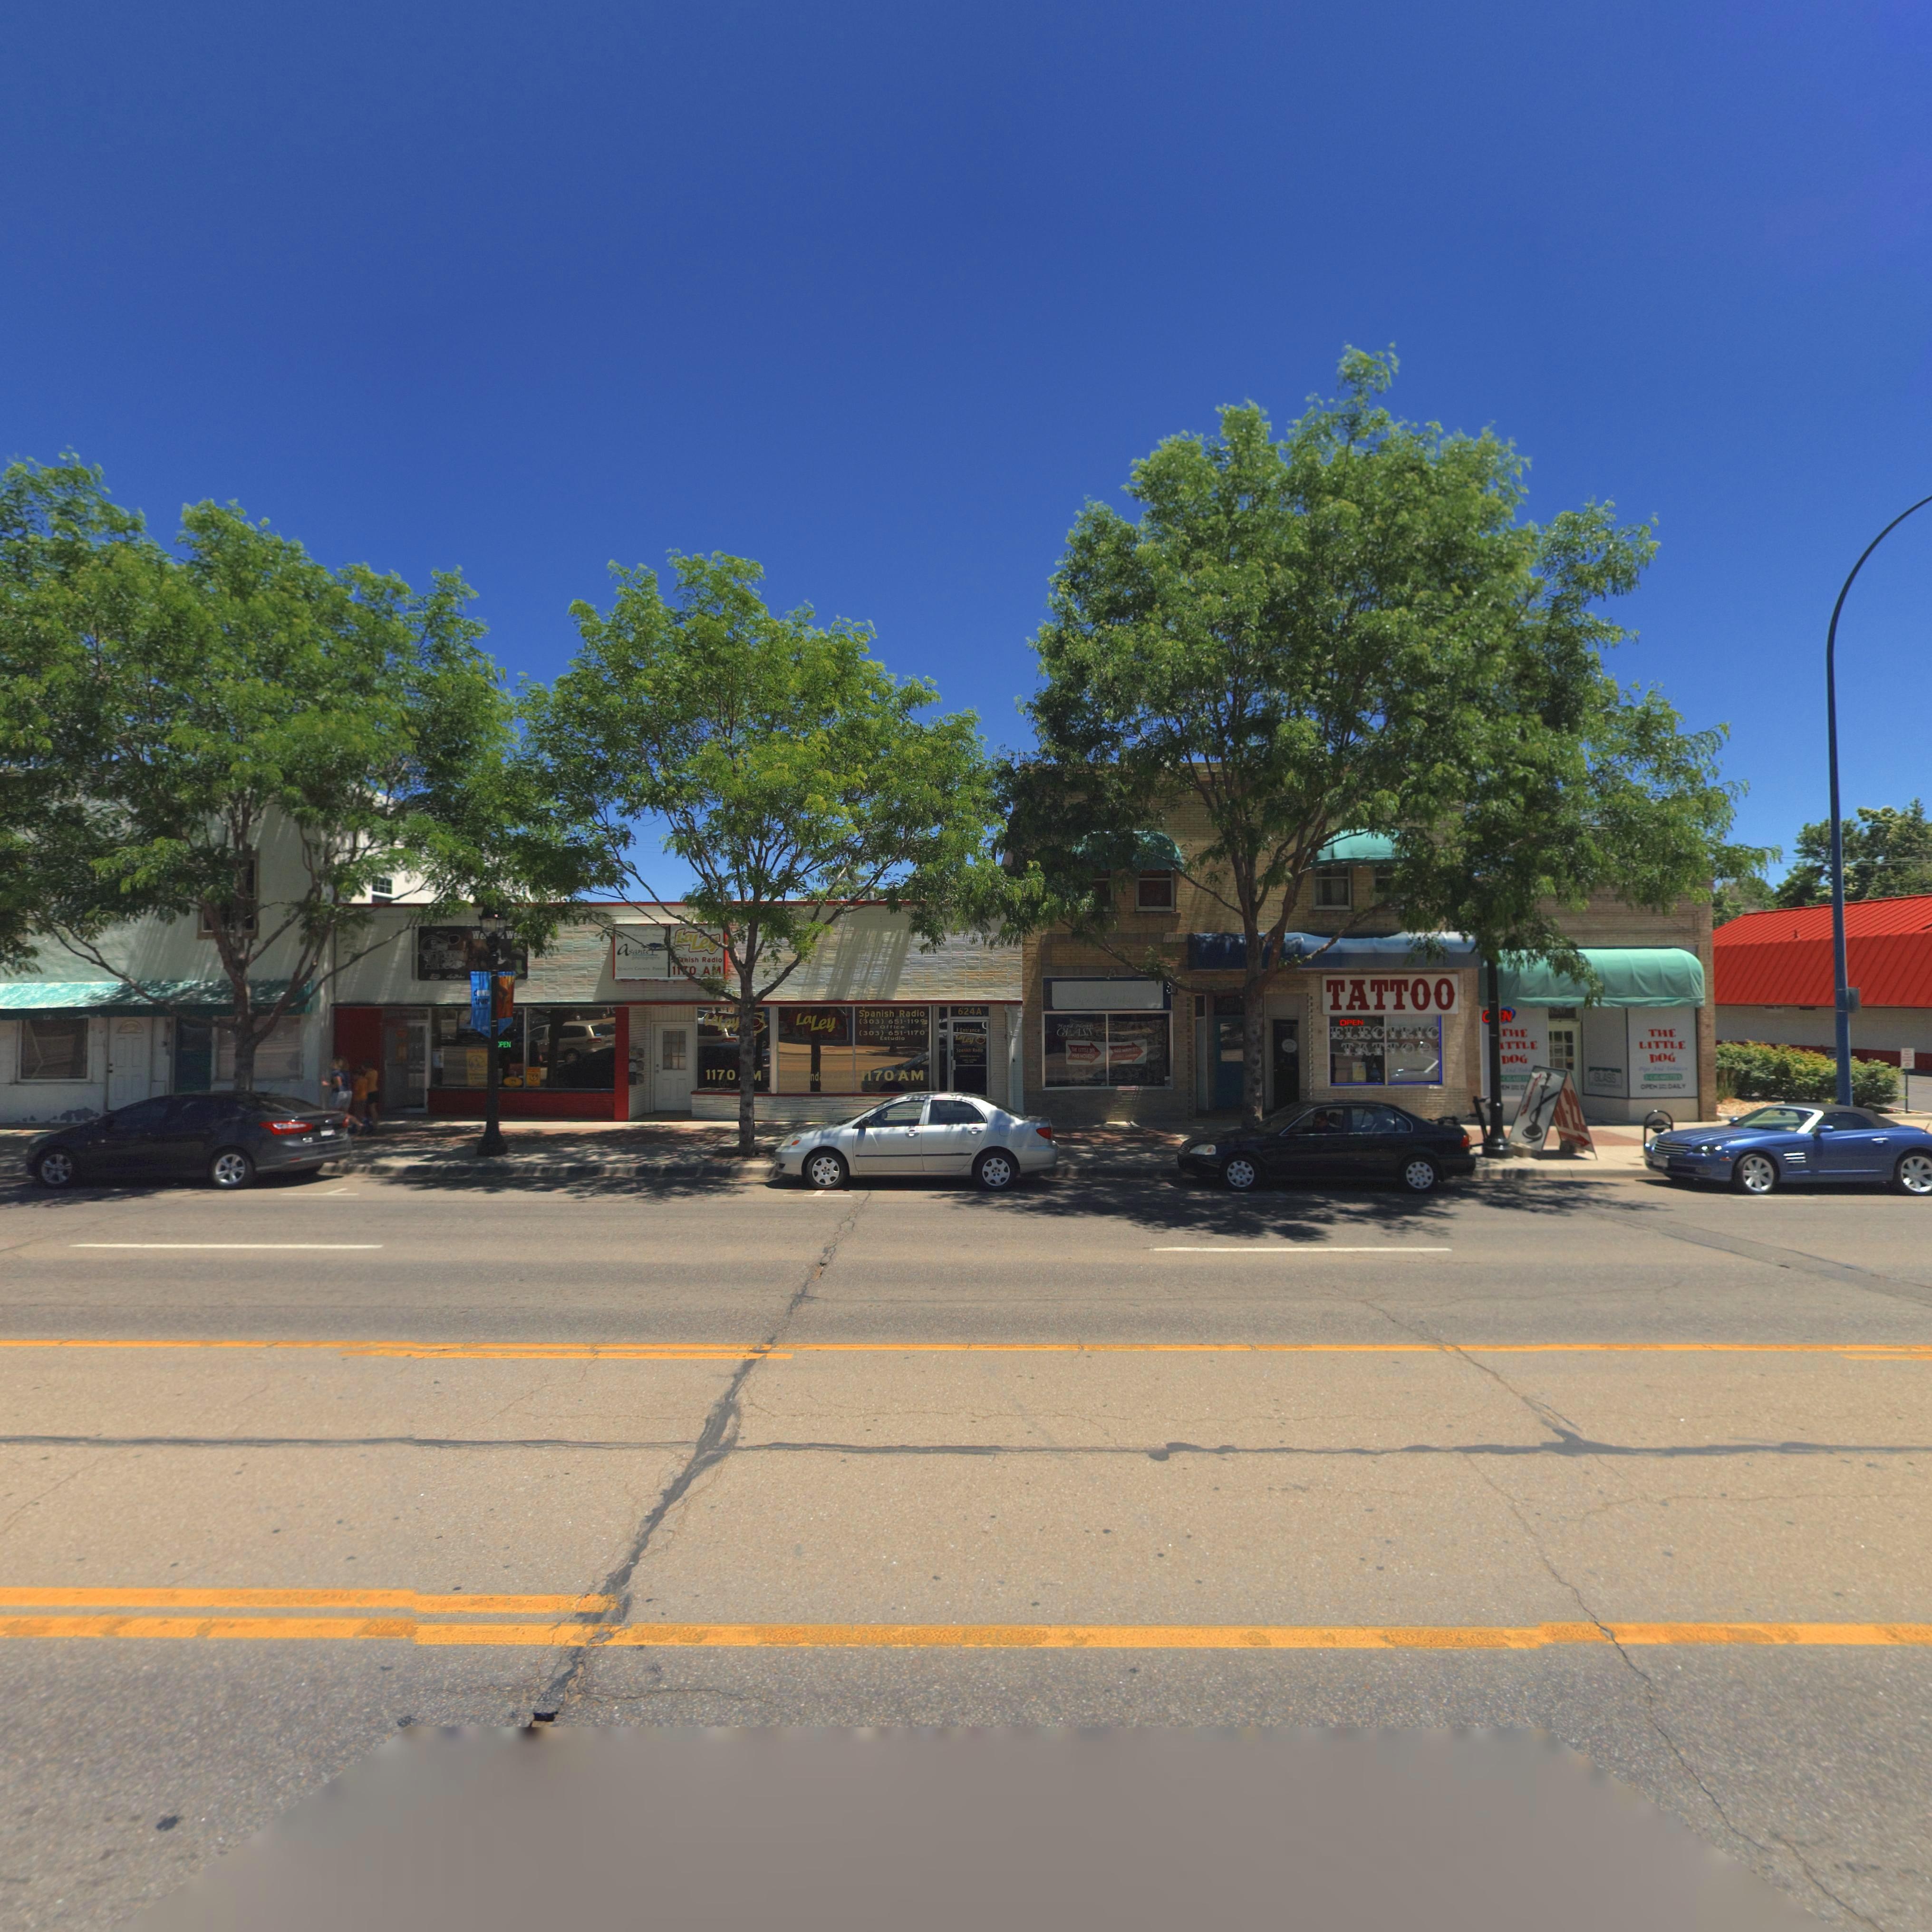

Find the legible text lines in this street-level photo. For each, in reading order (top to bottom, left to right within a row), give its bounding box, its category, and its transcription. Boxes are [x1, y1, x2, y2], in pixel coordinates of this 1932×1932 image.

[472, 930, 522, 939] BusinessName: We***** Wea*
[430, 939, 447, 949] BusinessName: S
[617, 943, 648, 956] BusinessName: asante
[676, 931, 718, 952] BusinessName: LaLey
[632, 956, 660, 960] BusinessName: photograp*y
[672, 966, 721, 975] BusinessName: 11*0 AM
[1326, 978, 1455, 1010] BusinessName: TATTOO
[1073, 994, 1144, 1005] BusinessName: *** And Tattoo
[1224, 997, 1235, 1005] StreetNumber: 623
[957, 1007, 982, 1015] StreetNumber: 624A
[705, 1013, 740, 1032] BusinessName: LaLey
[796, 1012, 835, 1033] BusinessName: LaLey
[1330, 1025, 1439, 1040] BusinessName: ELECTRIC
[1501, 1028, 1527, 1037] BusinessName: THE
[1648, 1028, 1676, 1037] BusinessName: THE
[956, 1034, 974, 1044] BusinessName: LaLey
[1341, 1041, 1432, 1056] BusinessName: TATTOO
[1499, 1040, 1538, 1050] BusinessName: ITTLE
[1639, 1040, 1686, 1049] BusinessName: LITTLE
[1501, 1053, 1527, 1064] BusinessName: DOGS
[1649, 1052, 1677, 1063] BusinessName: DOG
[706, 1069, 762, 1081] BusinessName: 1170 *M
[861, 1070, 924, 1081] BusinessName: 1170 AM